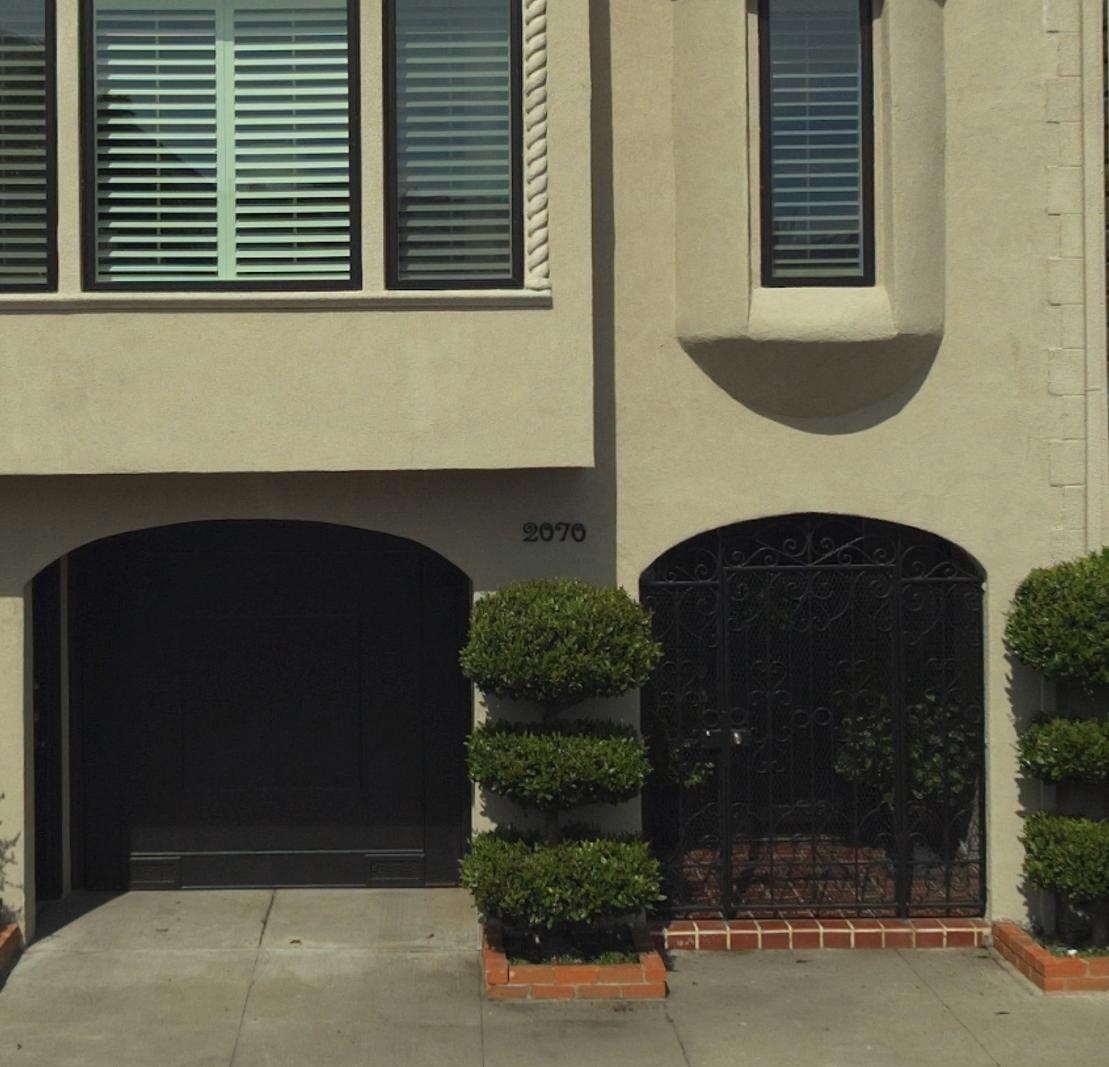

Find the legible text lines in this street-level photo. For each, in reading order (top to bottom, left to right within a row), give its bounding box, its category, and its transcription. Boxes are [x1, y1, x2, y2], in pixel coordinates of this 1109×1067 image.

[520, 520, 589, 545] StreetNumber: 2070